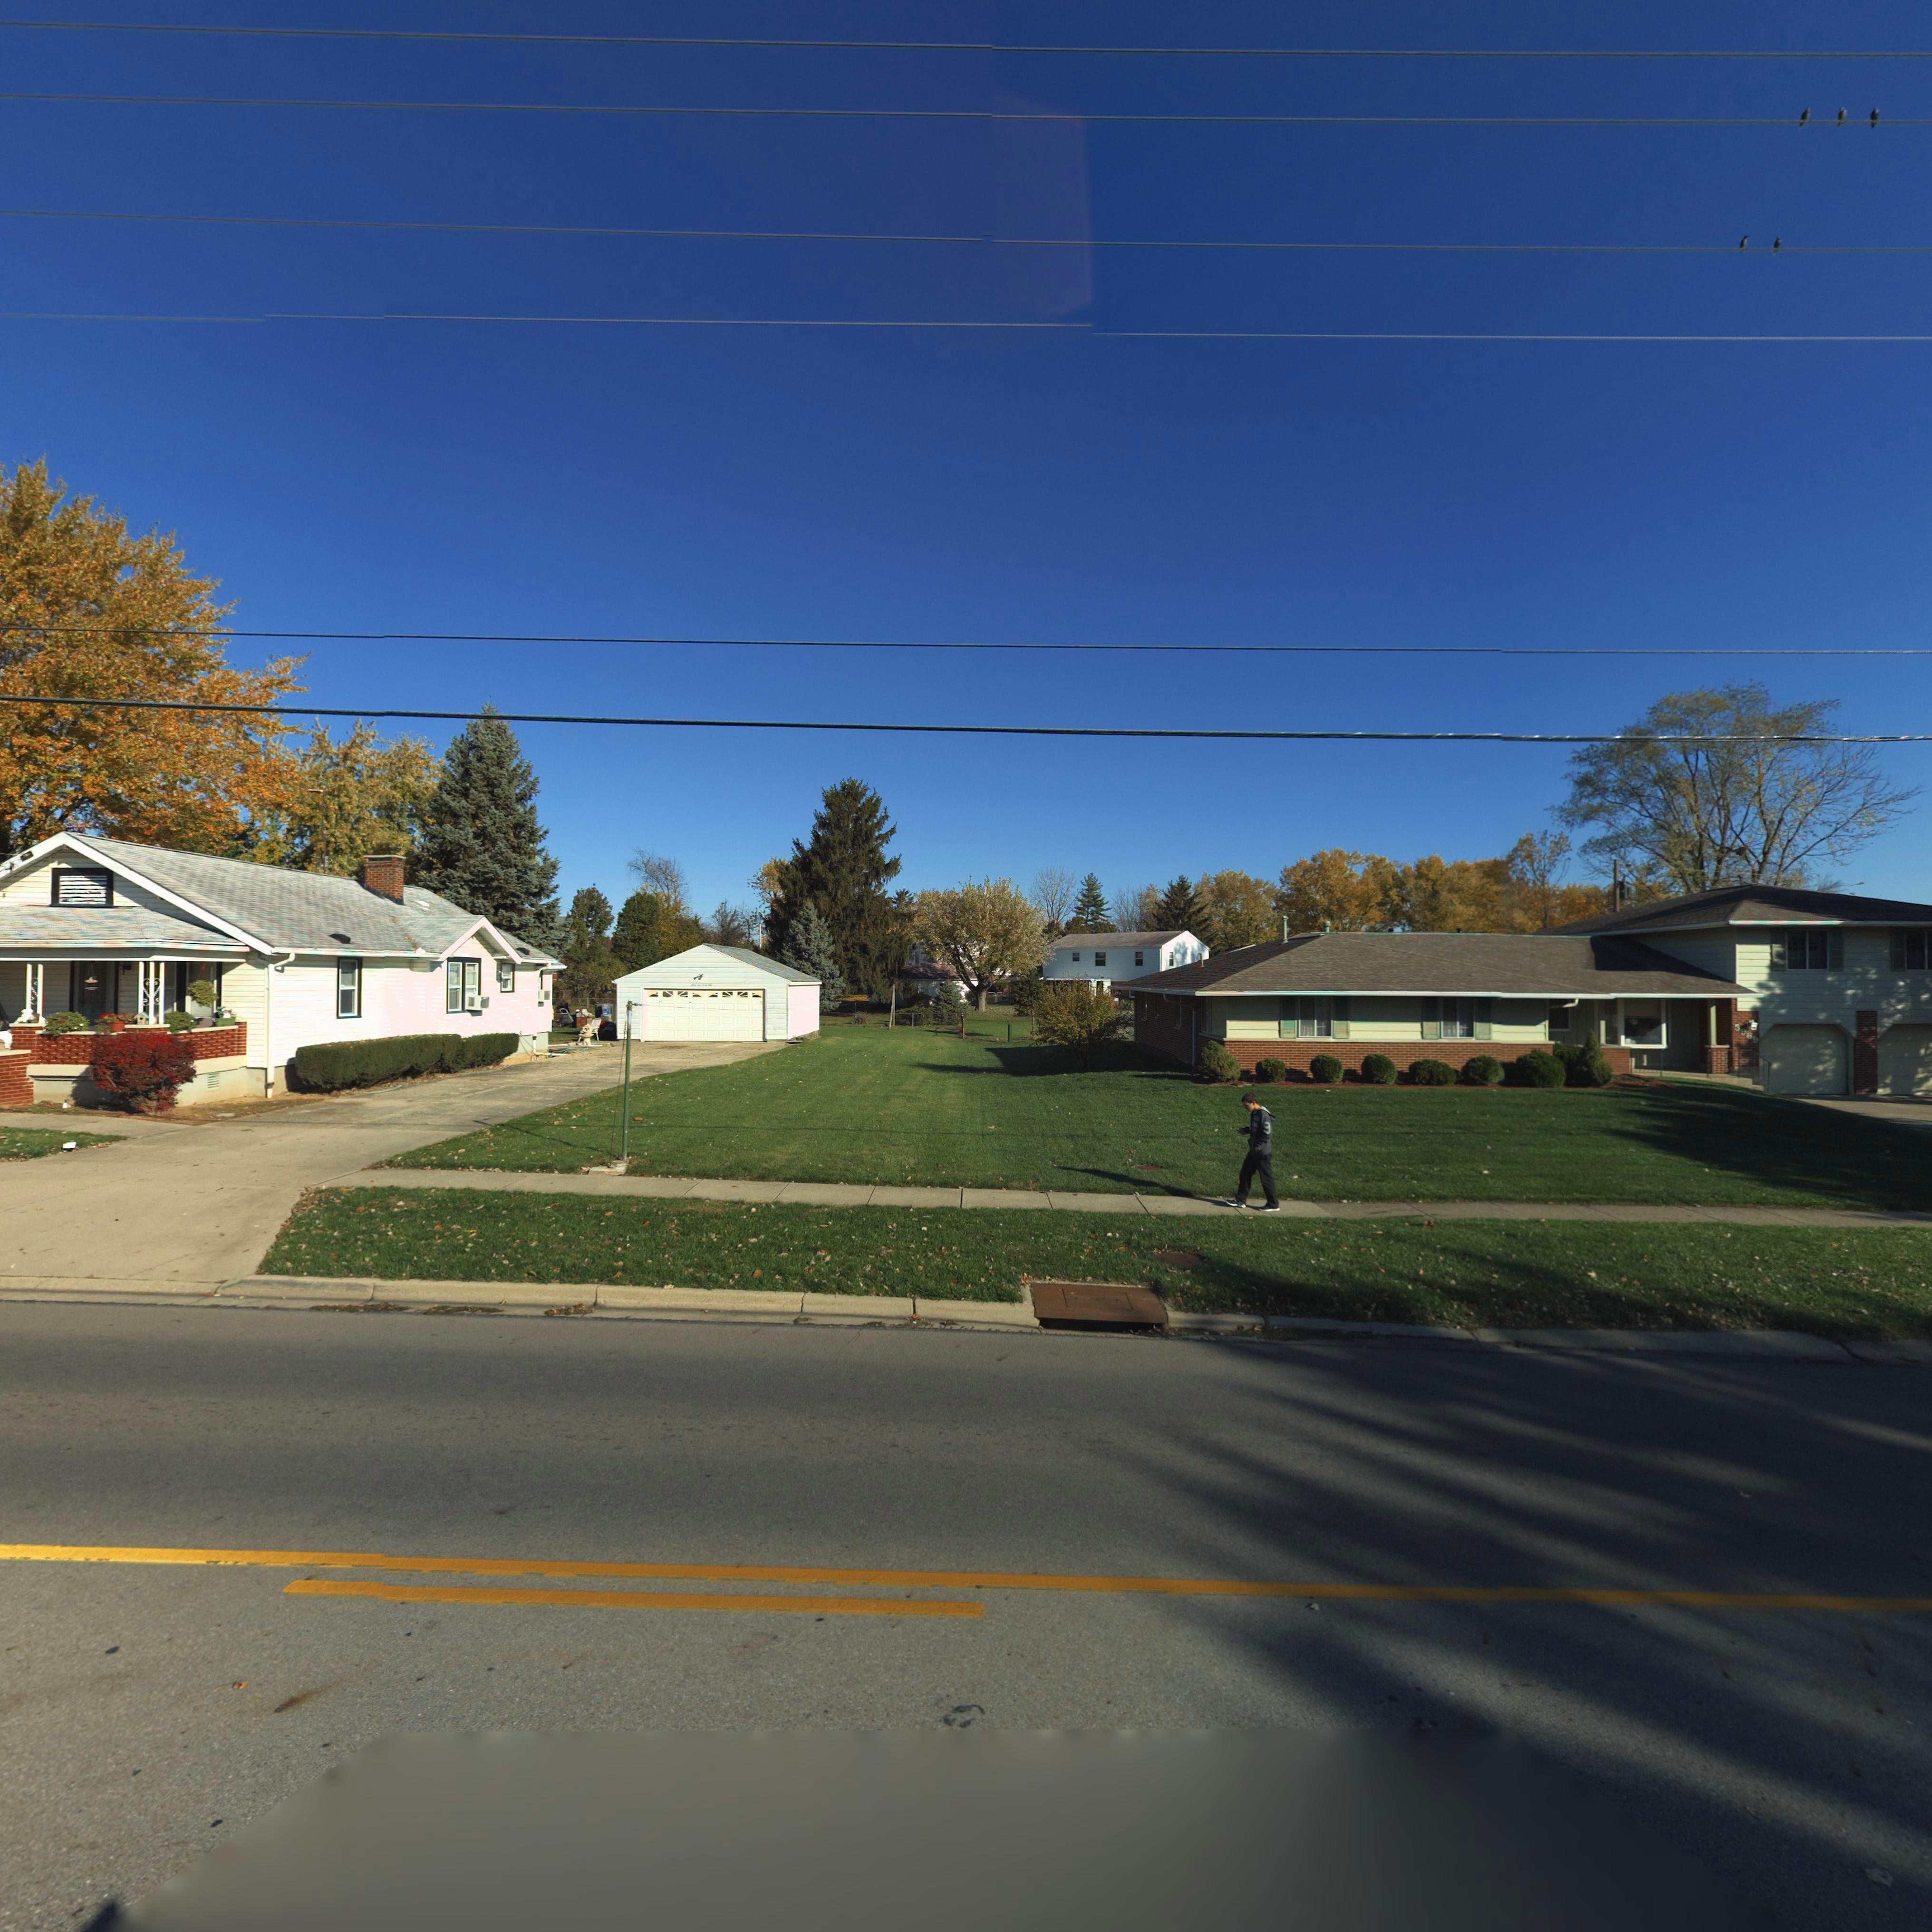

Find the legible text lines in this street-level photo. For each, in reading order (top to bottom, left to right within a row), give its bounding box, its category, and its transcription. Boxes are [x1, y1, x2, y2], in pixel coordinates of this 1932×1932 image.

[1734, 1024, 1759, 1044] StreetNumber: 5969